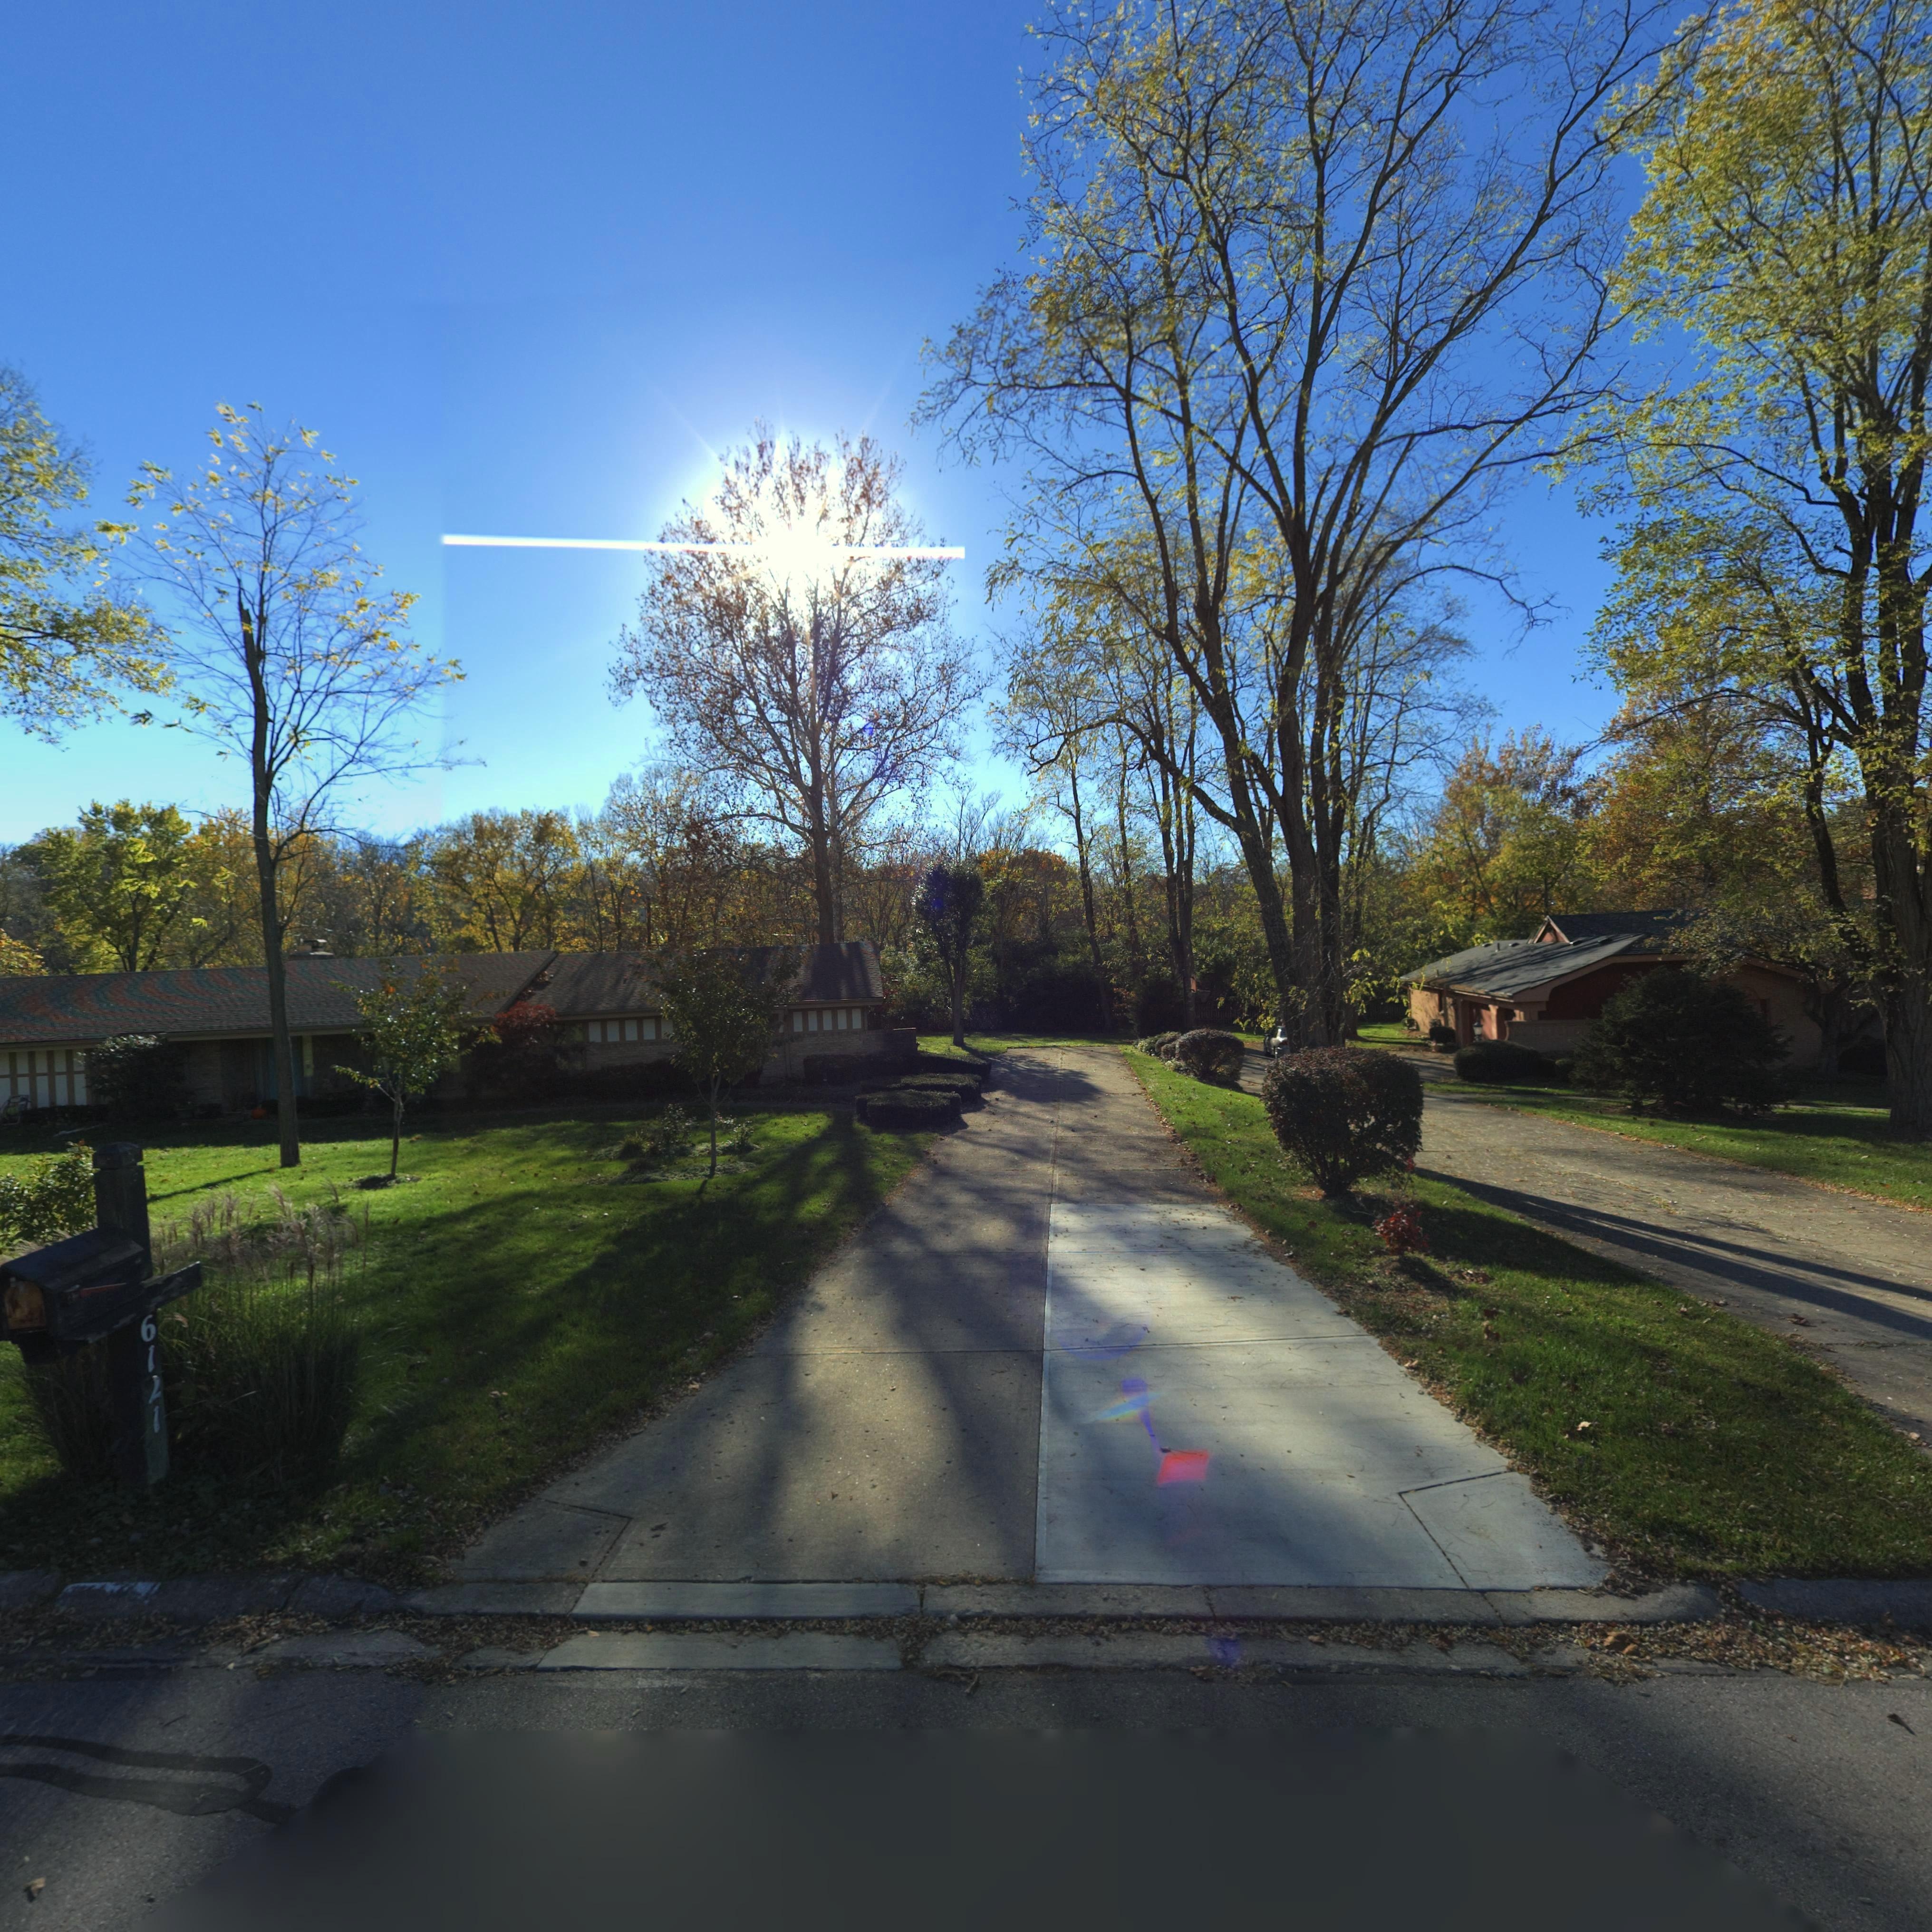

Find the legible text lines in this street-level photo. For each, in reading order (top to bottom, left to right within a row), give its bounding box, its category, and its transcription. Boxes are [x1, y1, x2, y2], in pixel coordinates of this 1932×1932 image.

[136, 1309, 168, 1438] StreetNumber: 6121